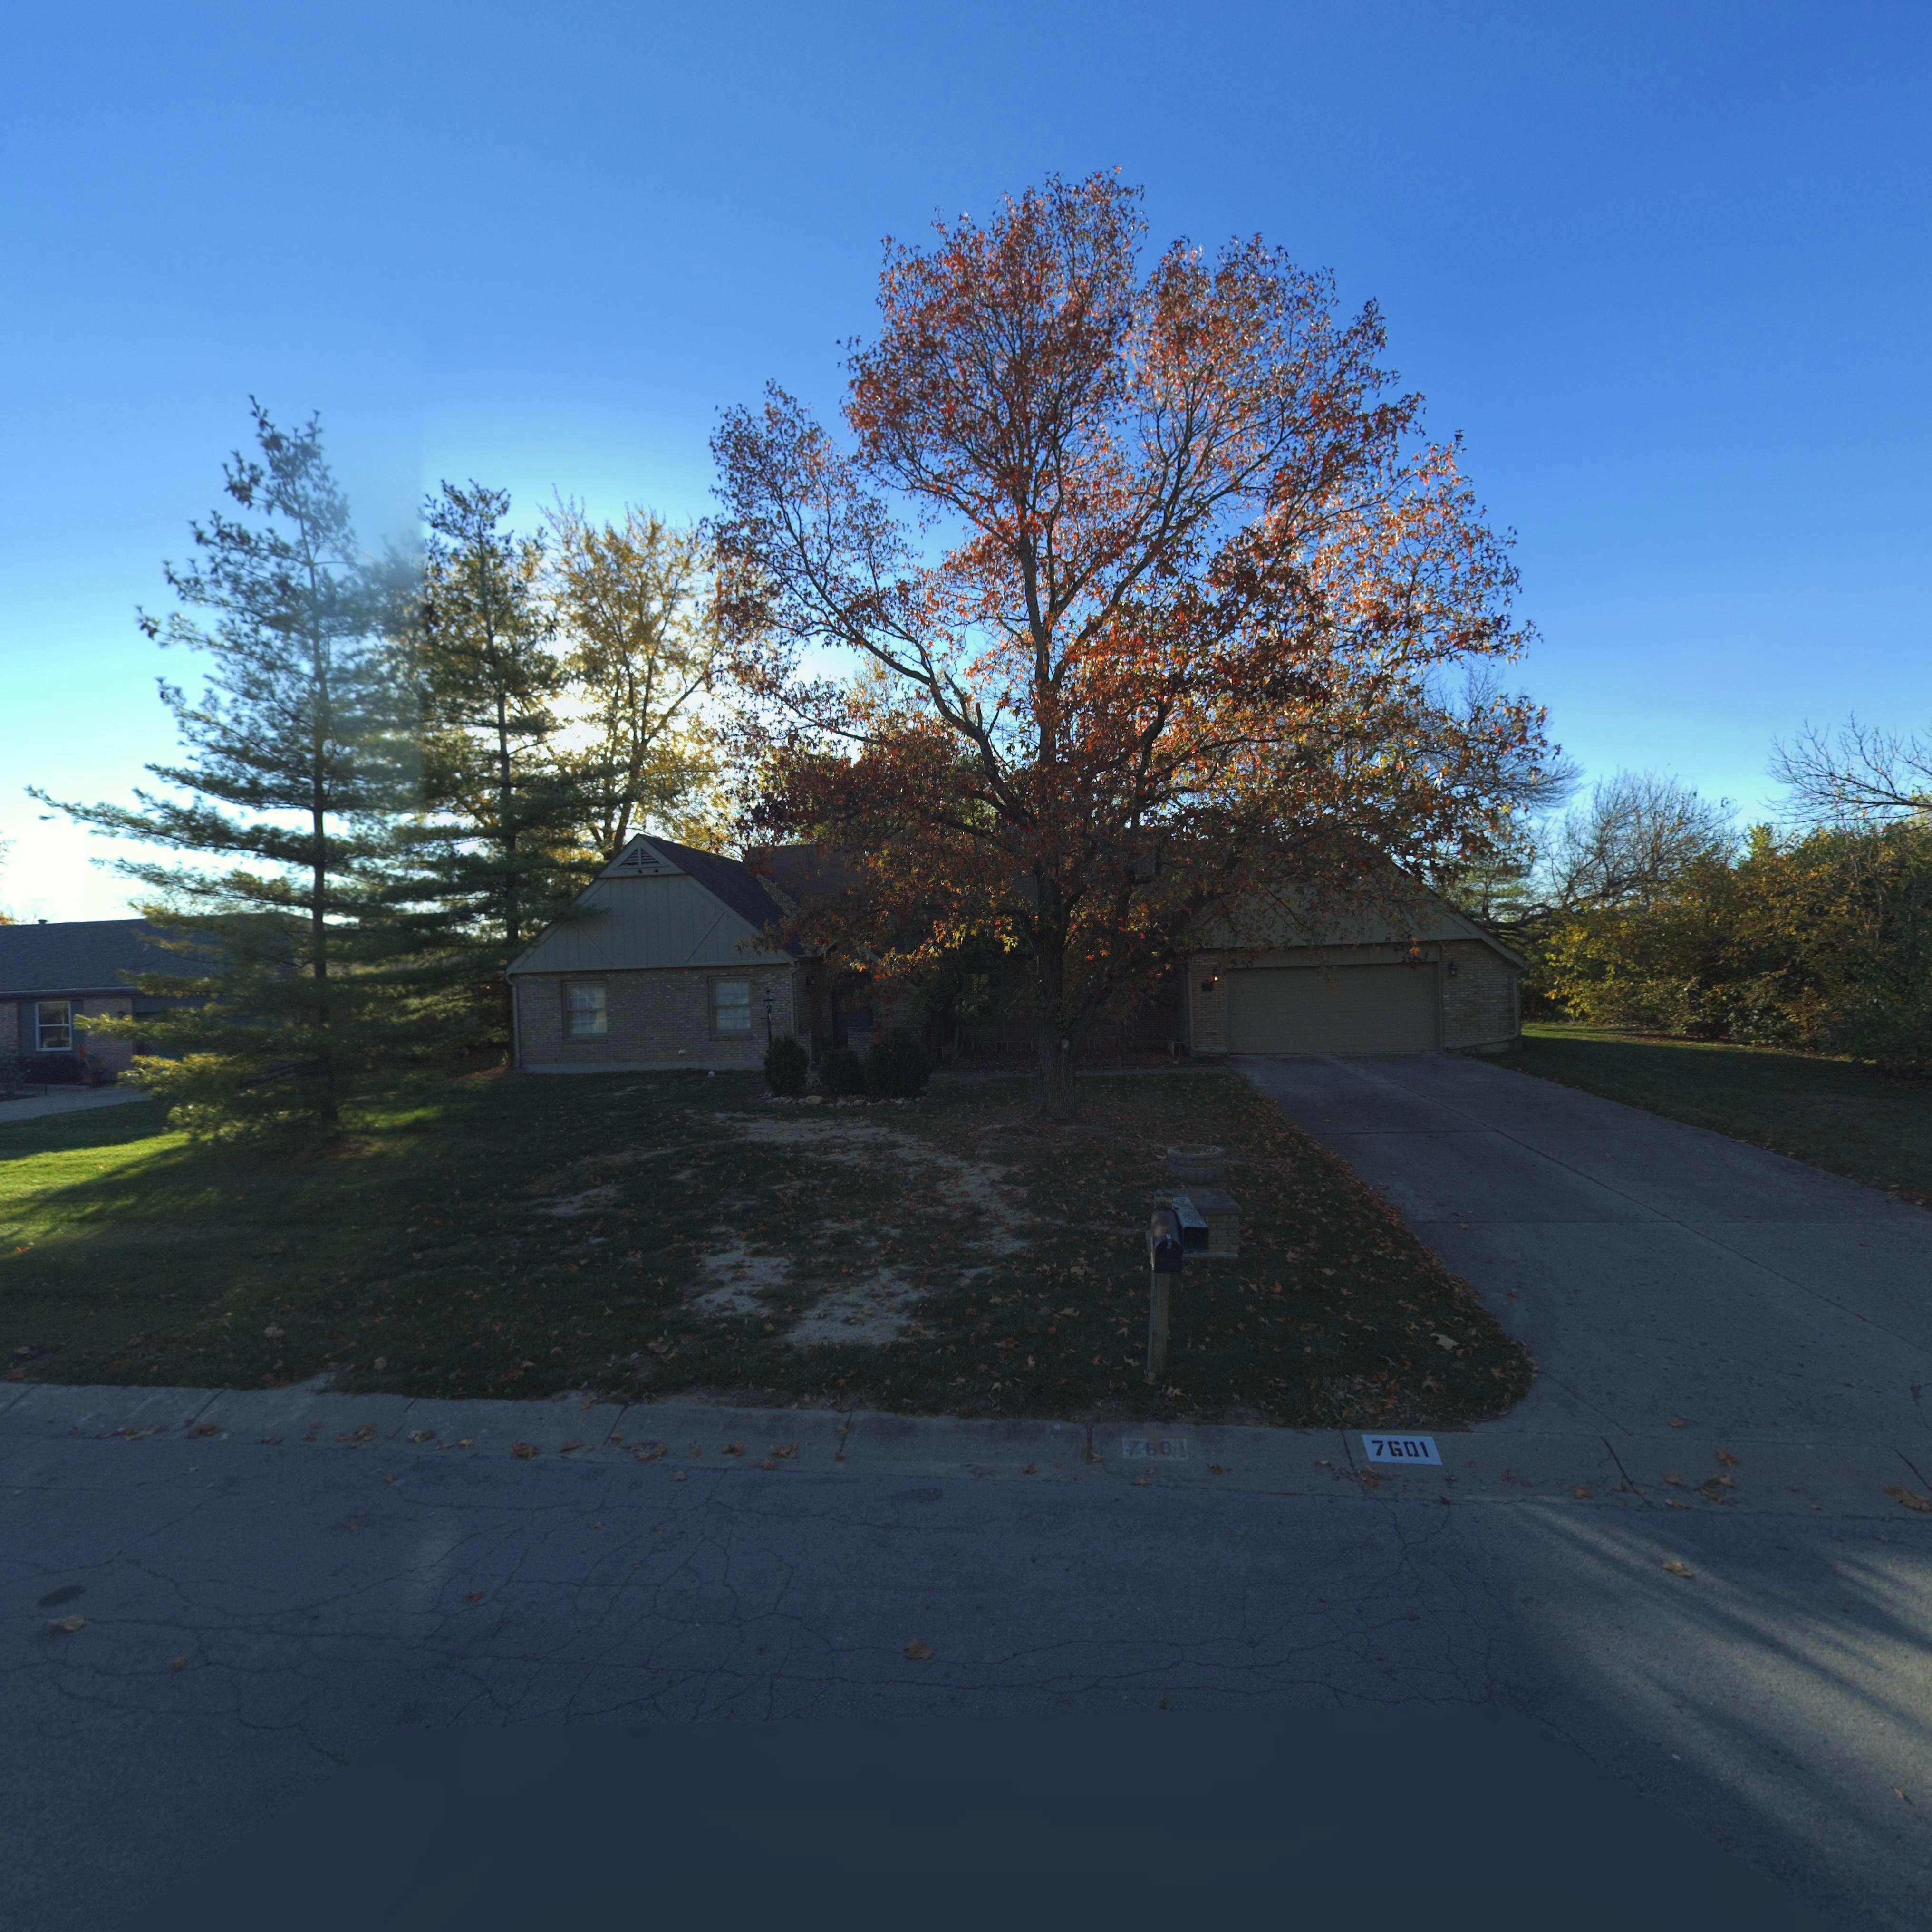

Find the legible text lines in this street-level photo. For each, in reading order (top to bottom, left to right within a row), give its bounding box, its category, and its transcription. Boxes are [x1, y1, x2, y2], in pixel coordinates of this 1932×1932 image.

[1127, 1438, 1188, 1459] StreetNumber: 7601
[1370, 1439, 1430, 1459] StreetNumber: 7601